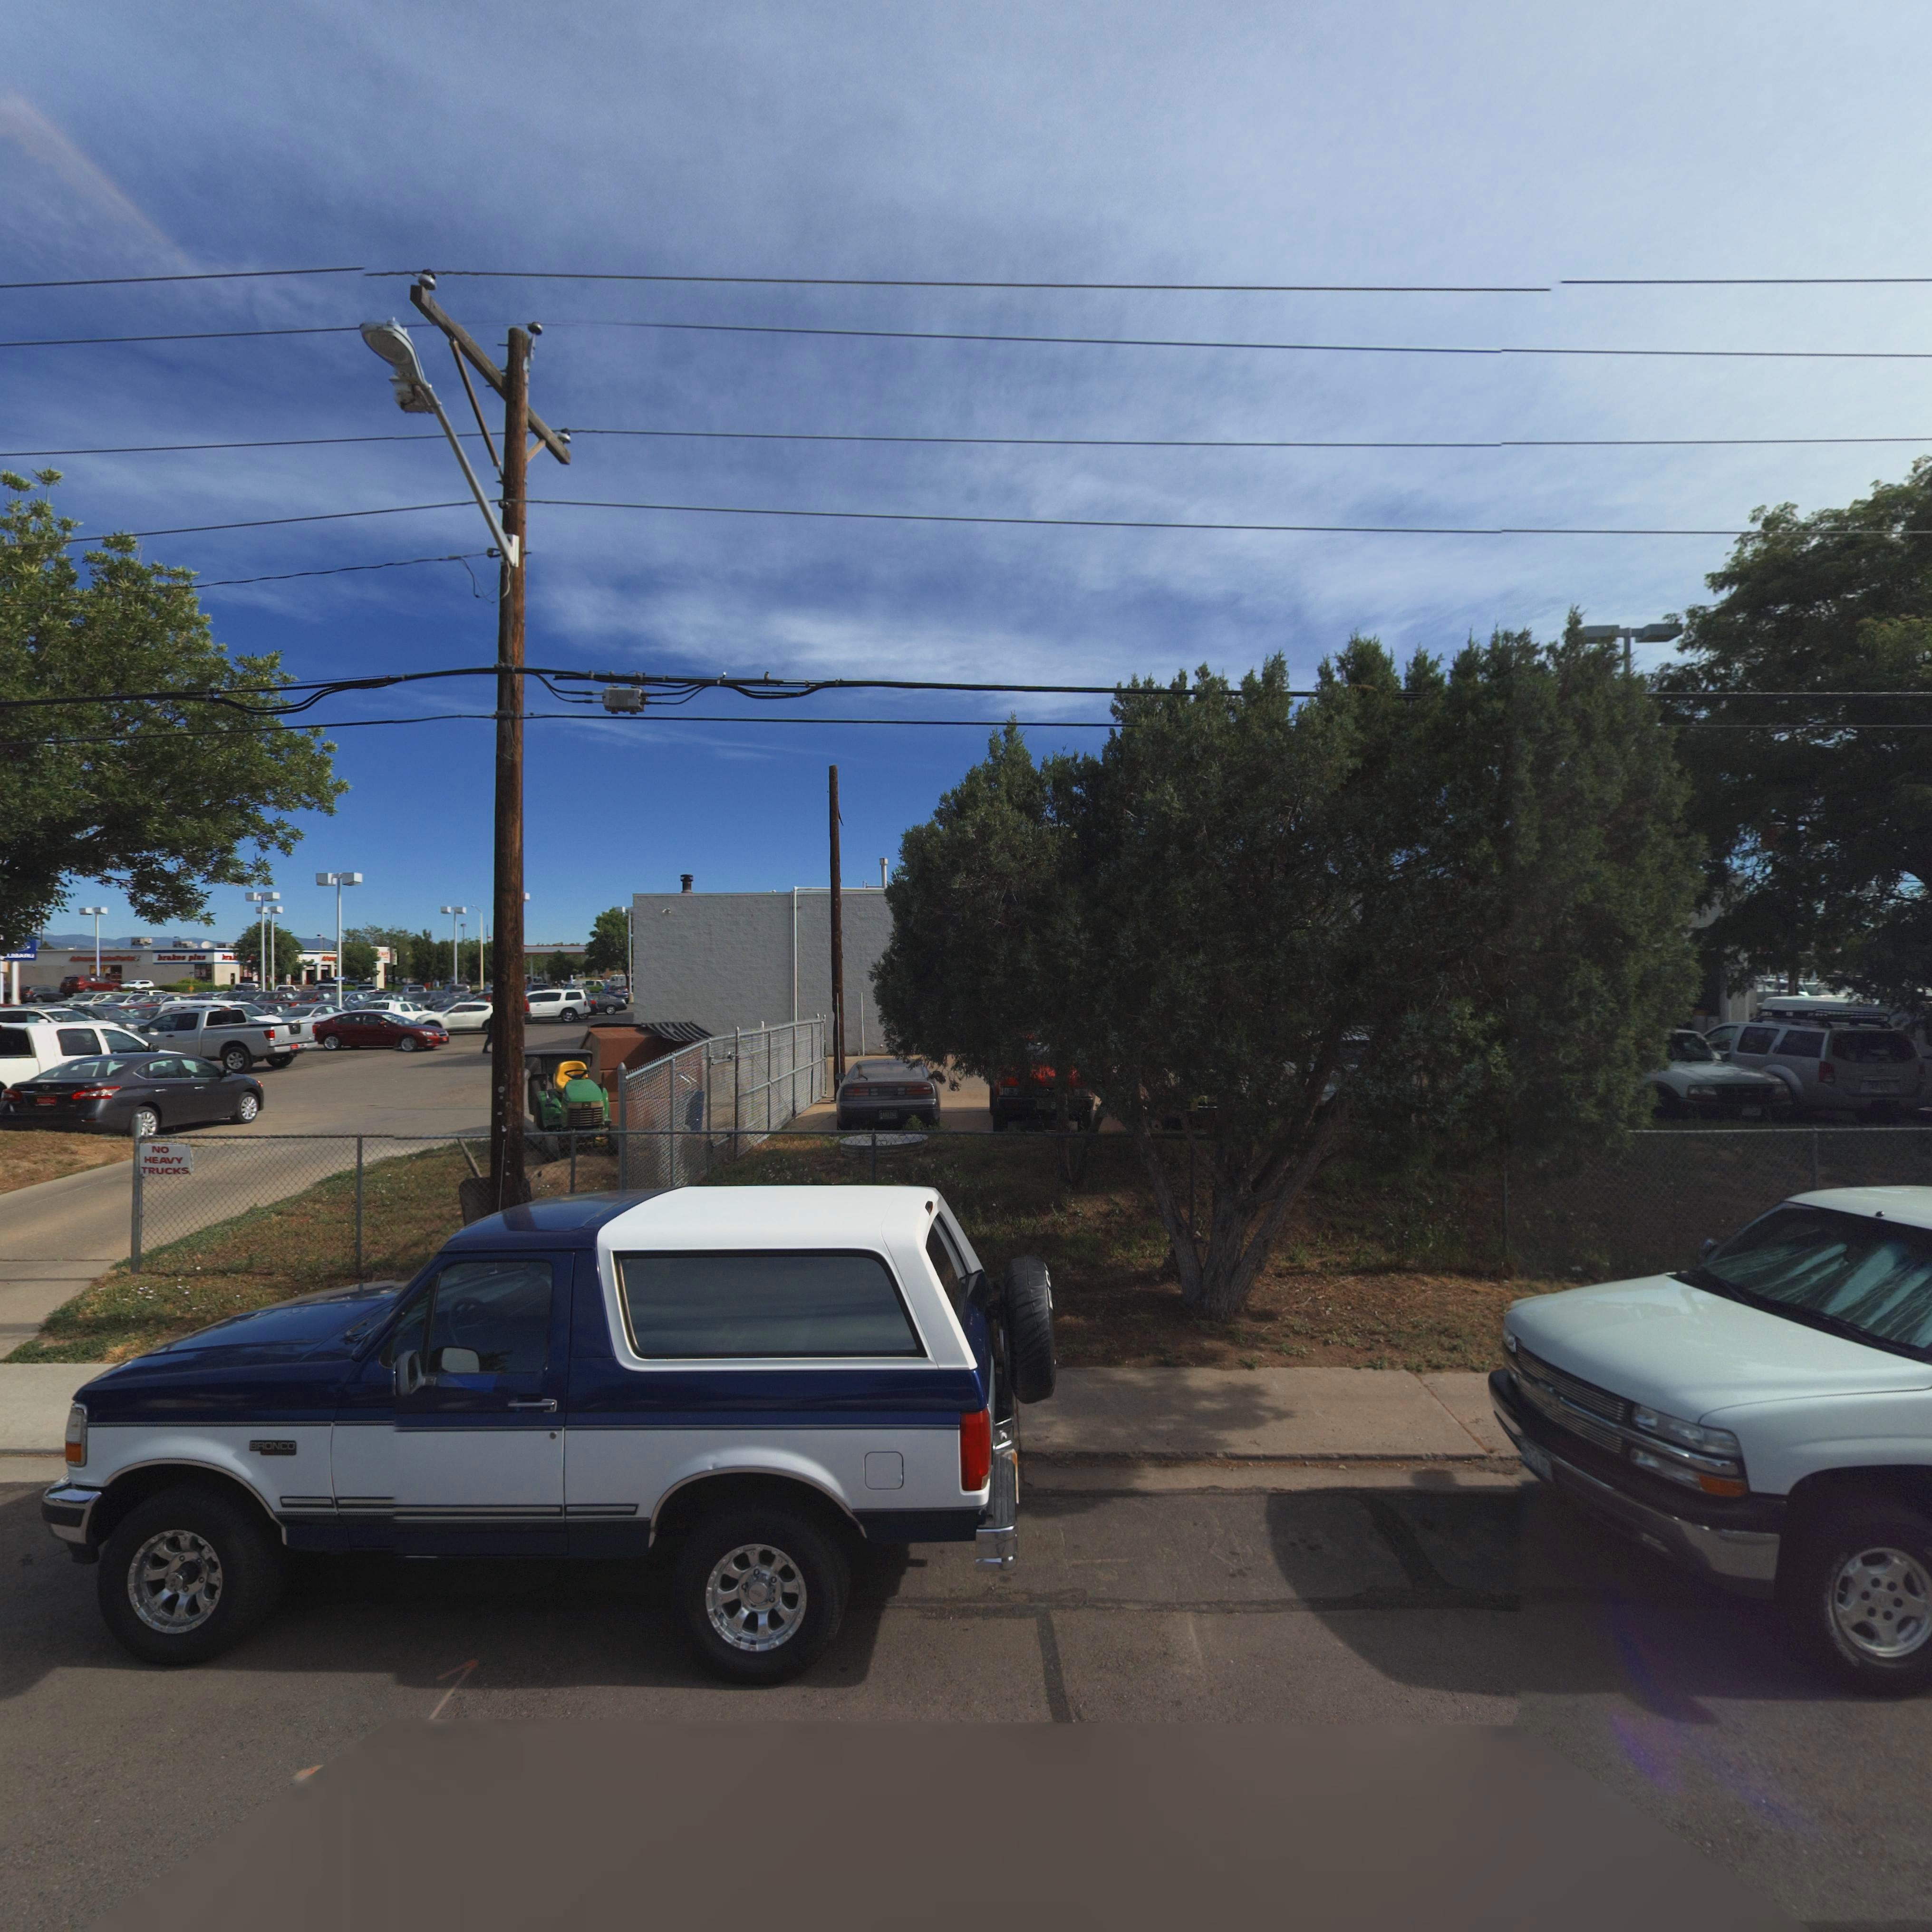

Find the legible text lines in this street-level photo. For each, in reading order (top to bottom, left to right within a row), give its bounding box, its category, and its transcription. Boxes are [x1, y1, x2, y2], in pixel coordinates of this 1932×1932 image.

[2, 952, 35, 958] BusinessName: *UBARU
[68, 955, 135, 961] BusinessName: A***** **** P****
[157, 953, 206, 962] BusinessName: brakes plus
[222, 953, 237, 960] BusinessName: brak
[376, 950, 389, 956] BusinessName: EWAY